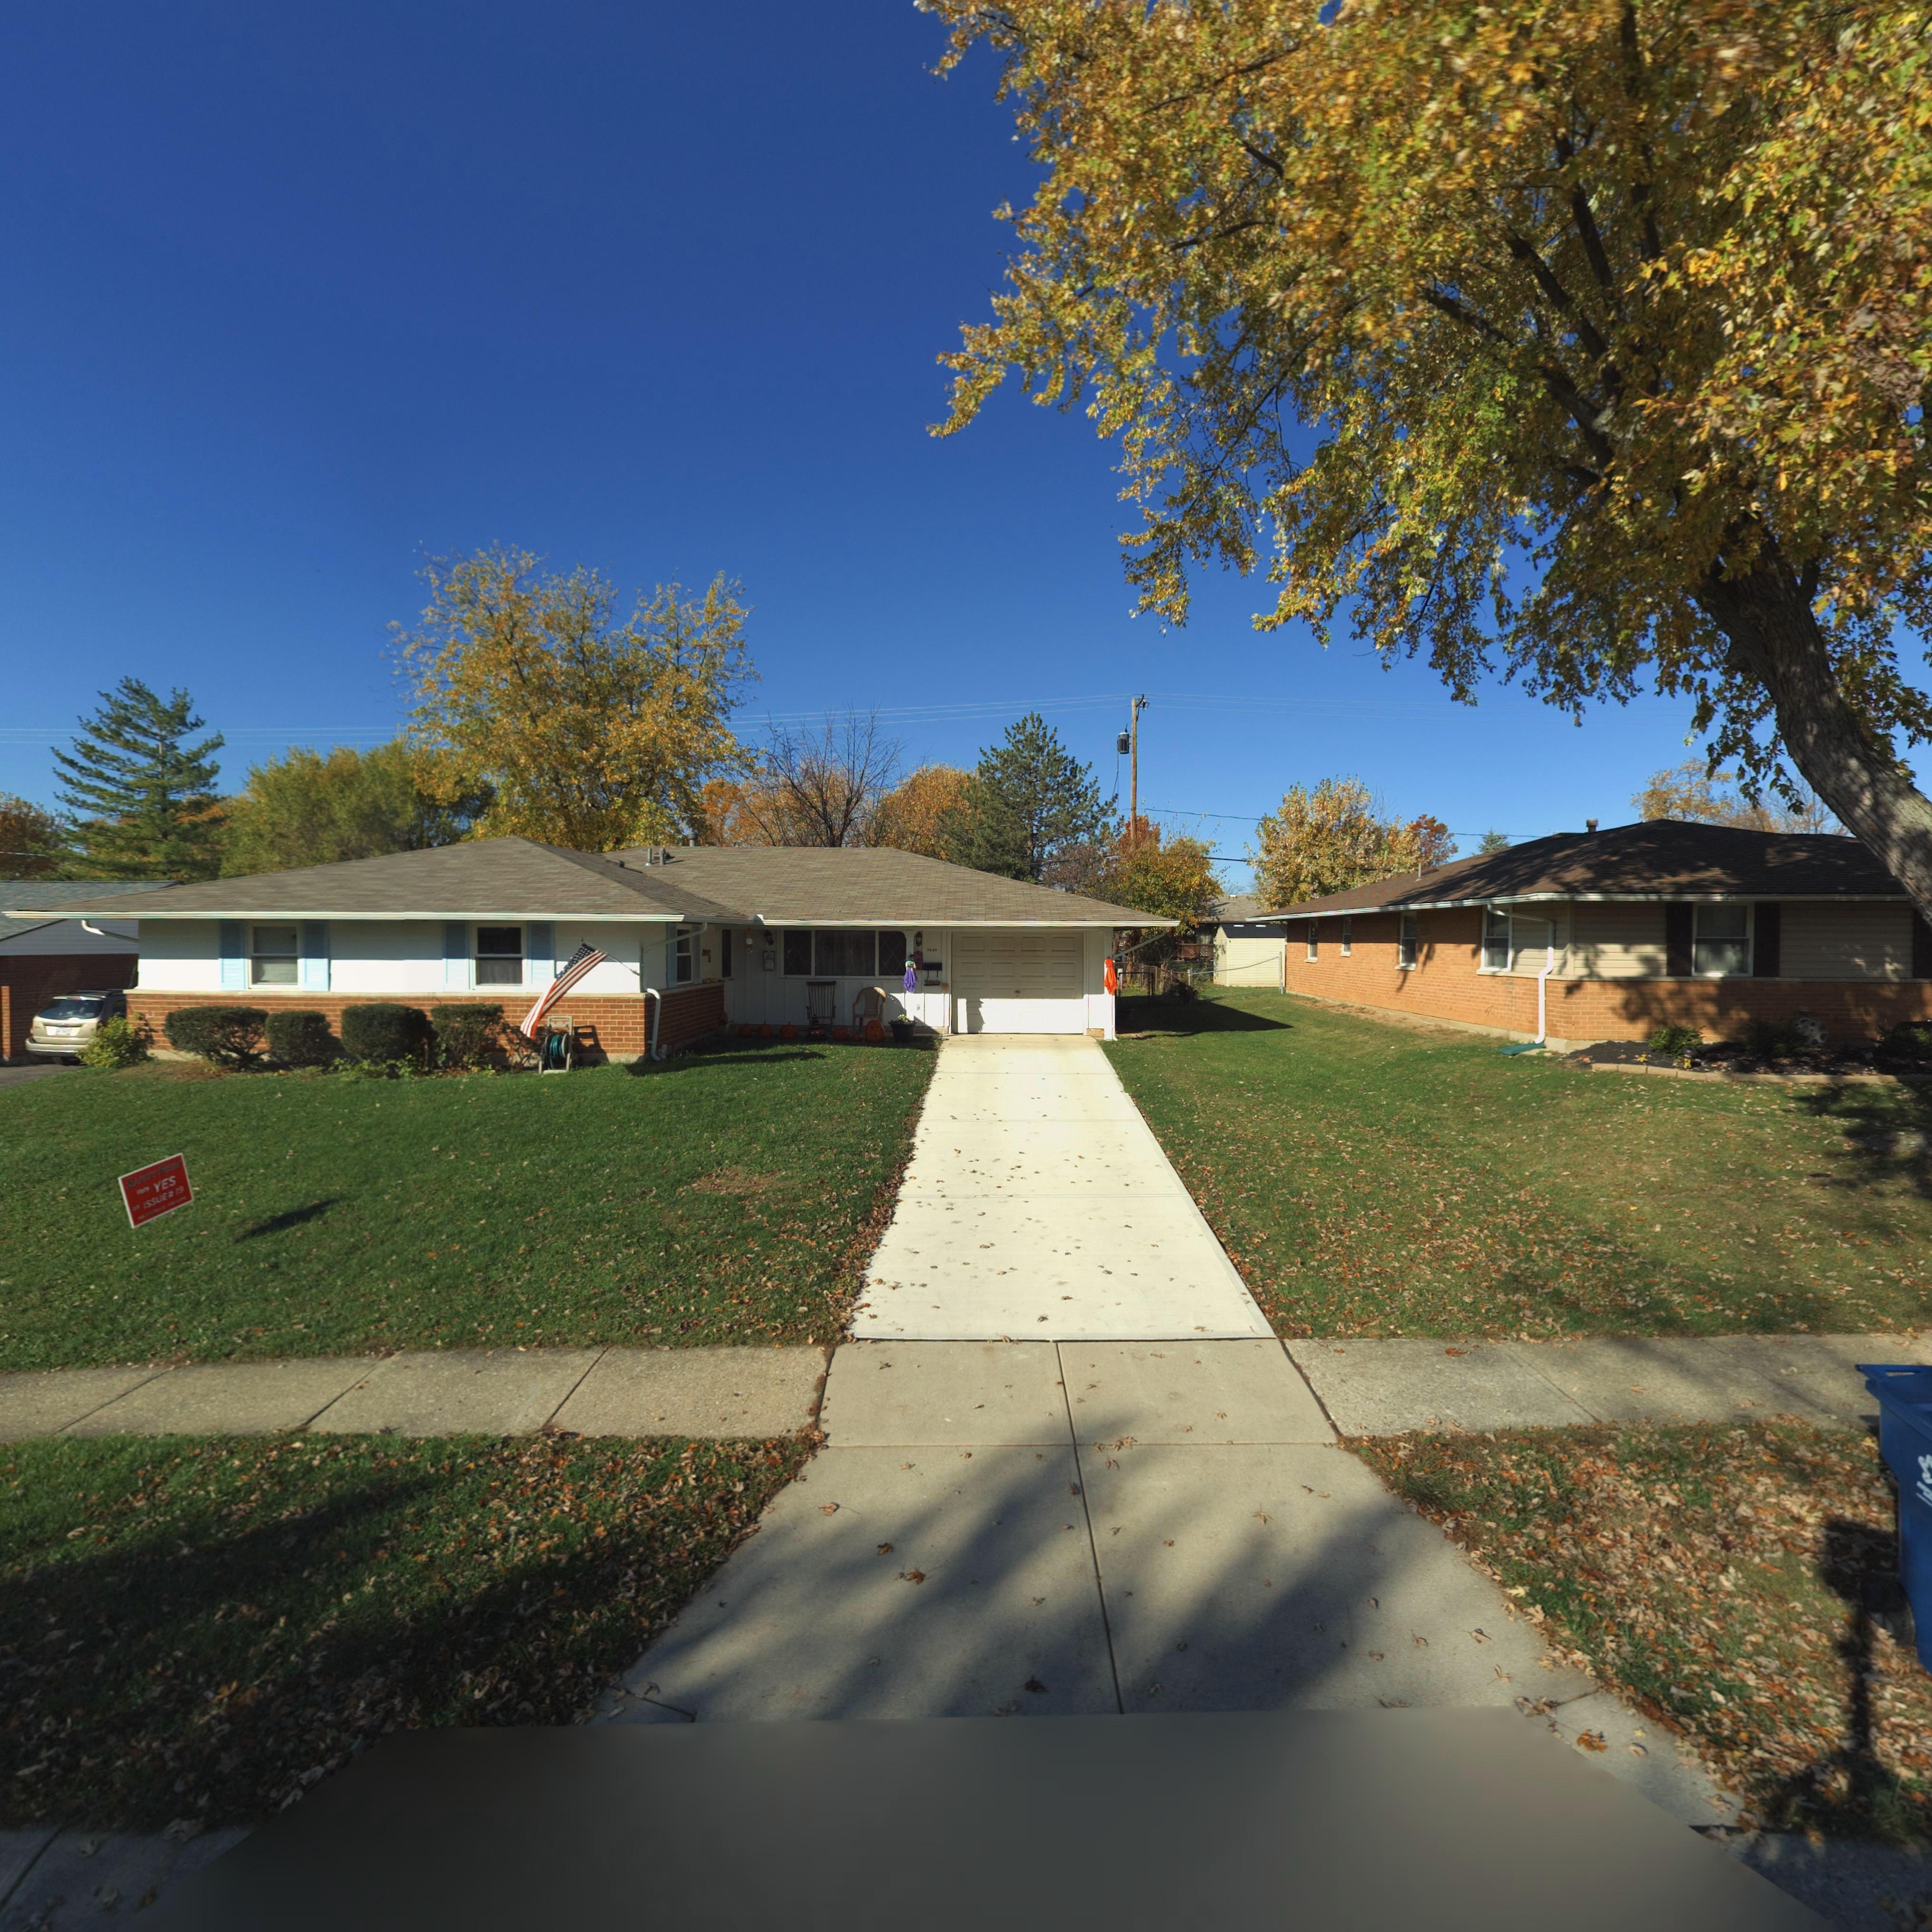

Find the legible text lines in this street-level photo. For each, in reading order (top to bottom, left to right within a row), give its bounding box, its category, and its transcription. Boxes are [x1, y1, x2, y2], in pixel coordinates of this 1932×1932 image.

[926, 948, 938, 952] StreetNumber: 76*9